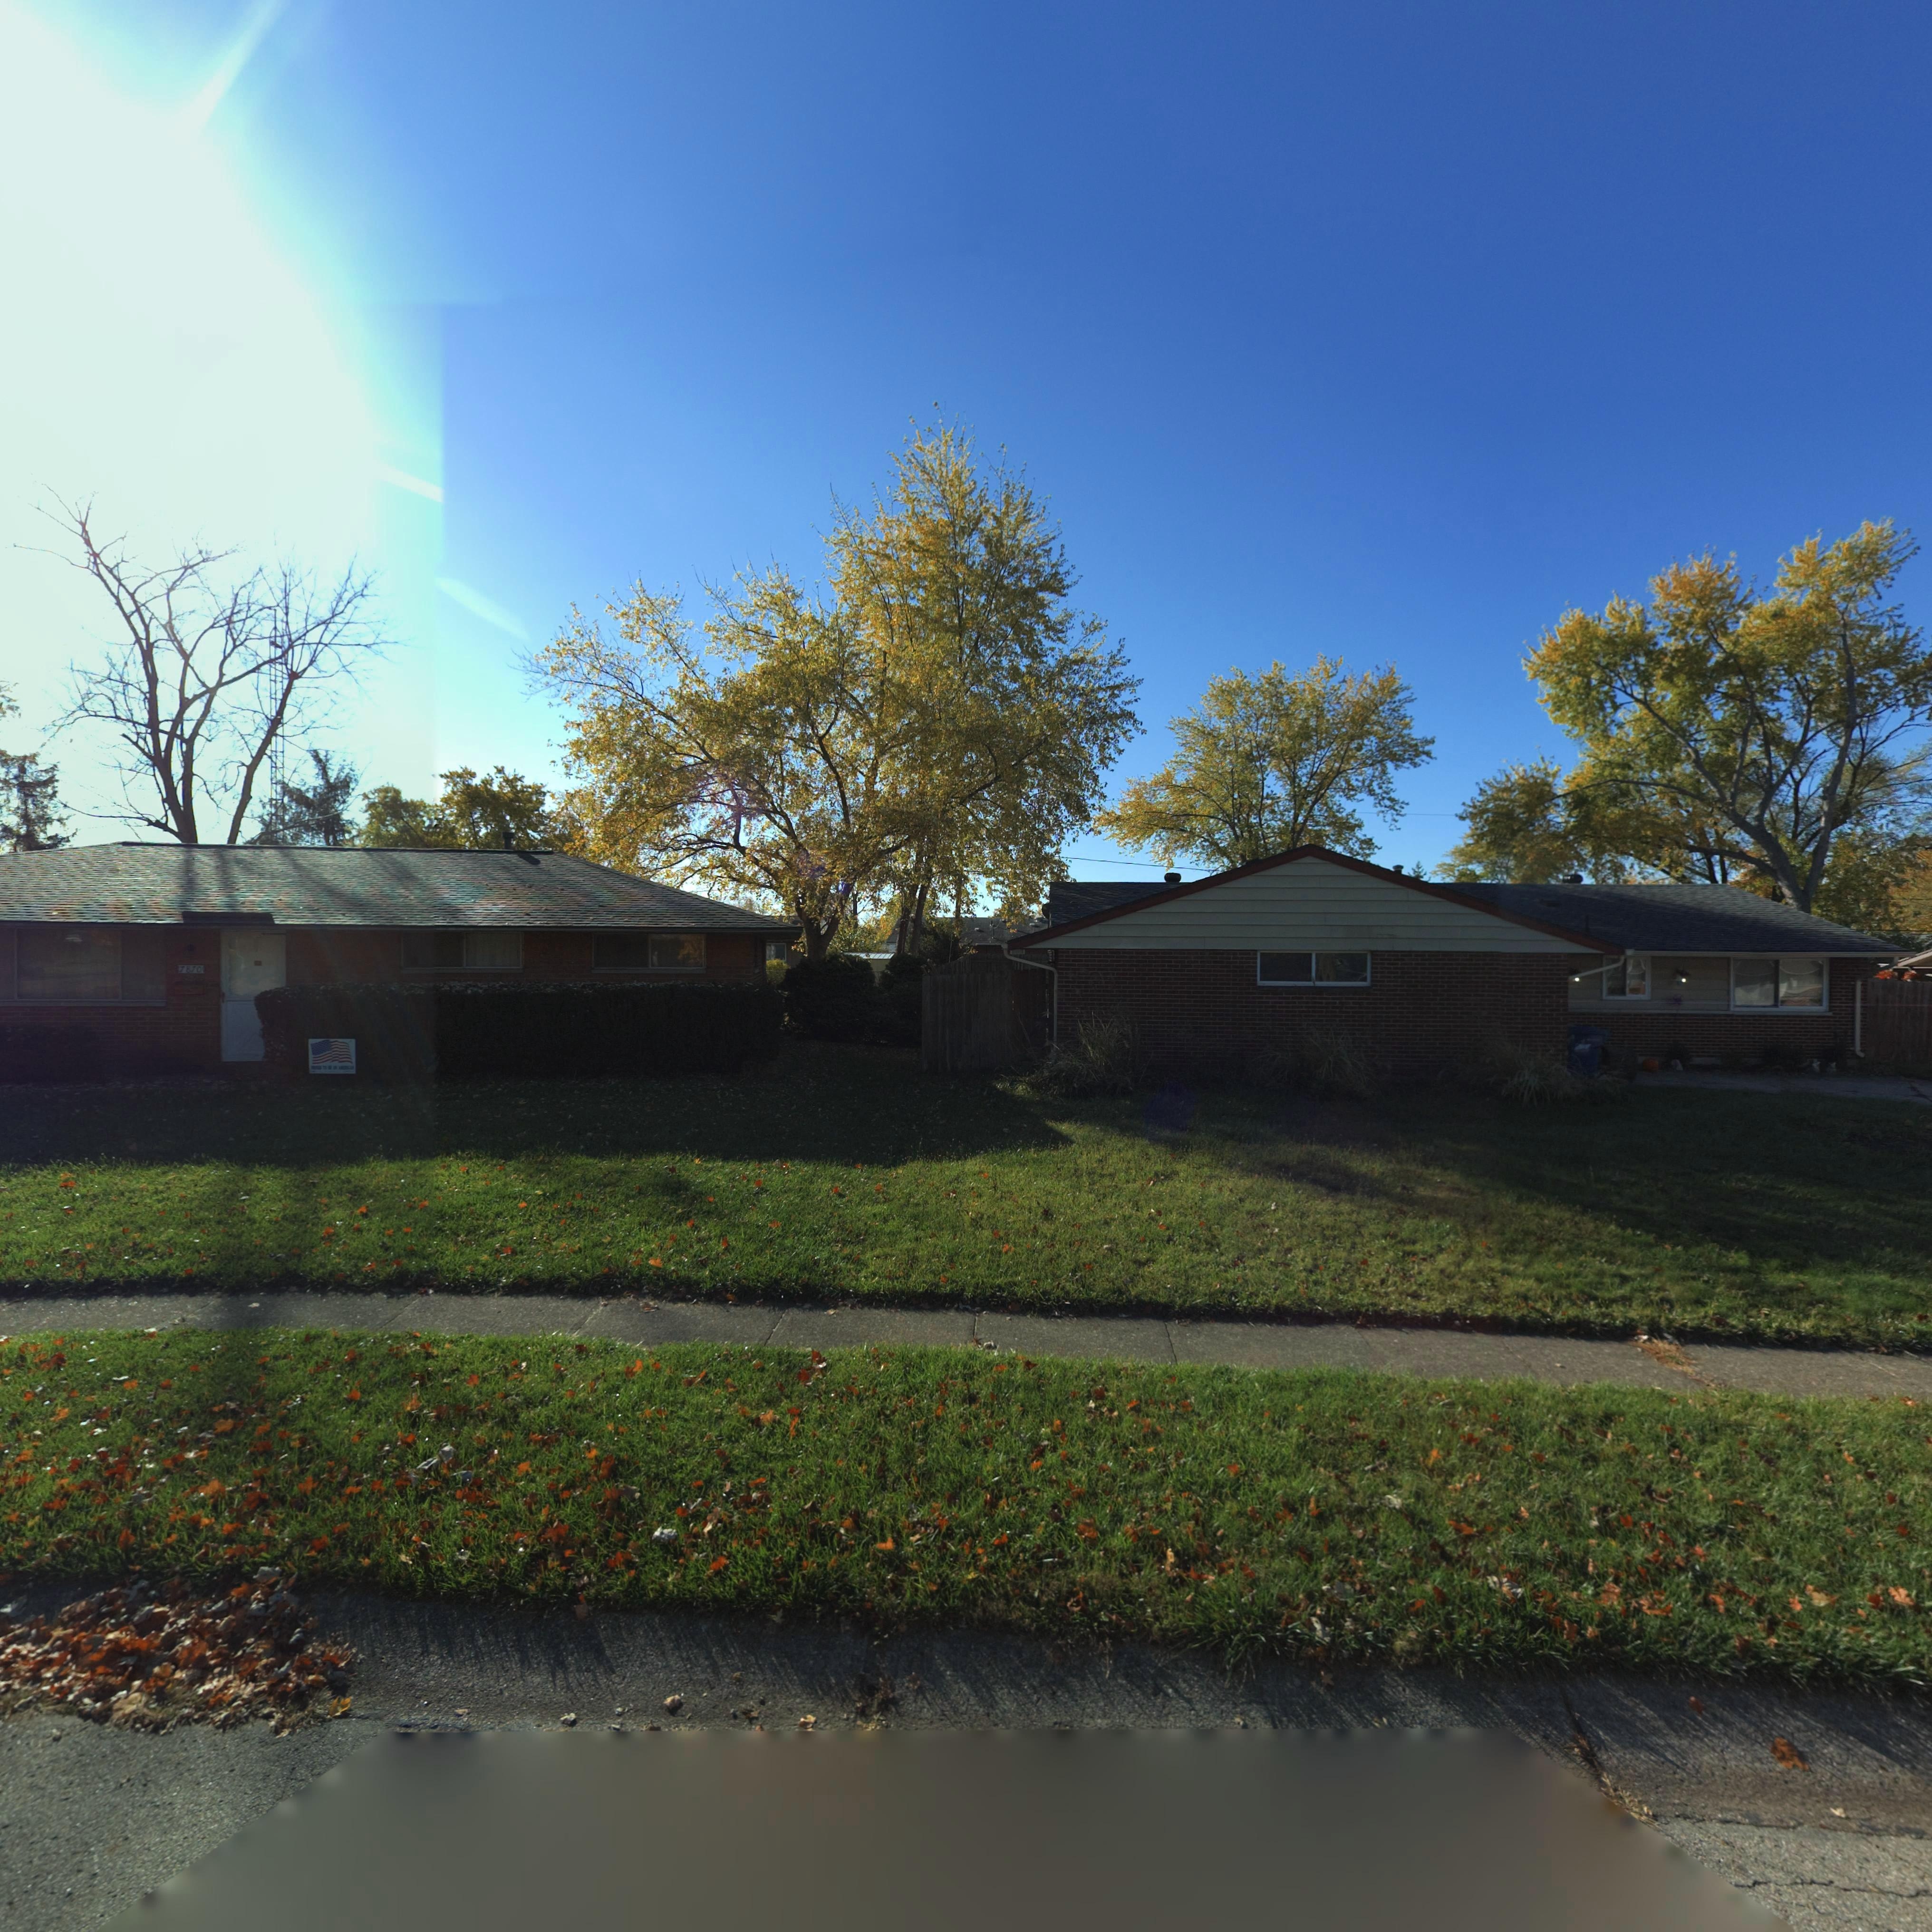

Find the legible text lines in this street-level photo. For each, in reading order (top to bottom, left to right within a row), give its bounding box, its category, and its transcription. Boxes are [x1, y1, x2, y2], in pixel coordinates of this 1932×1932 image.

[179, 966, 203, 973] StreetNumber: 7870